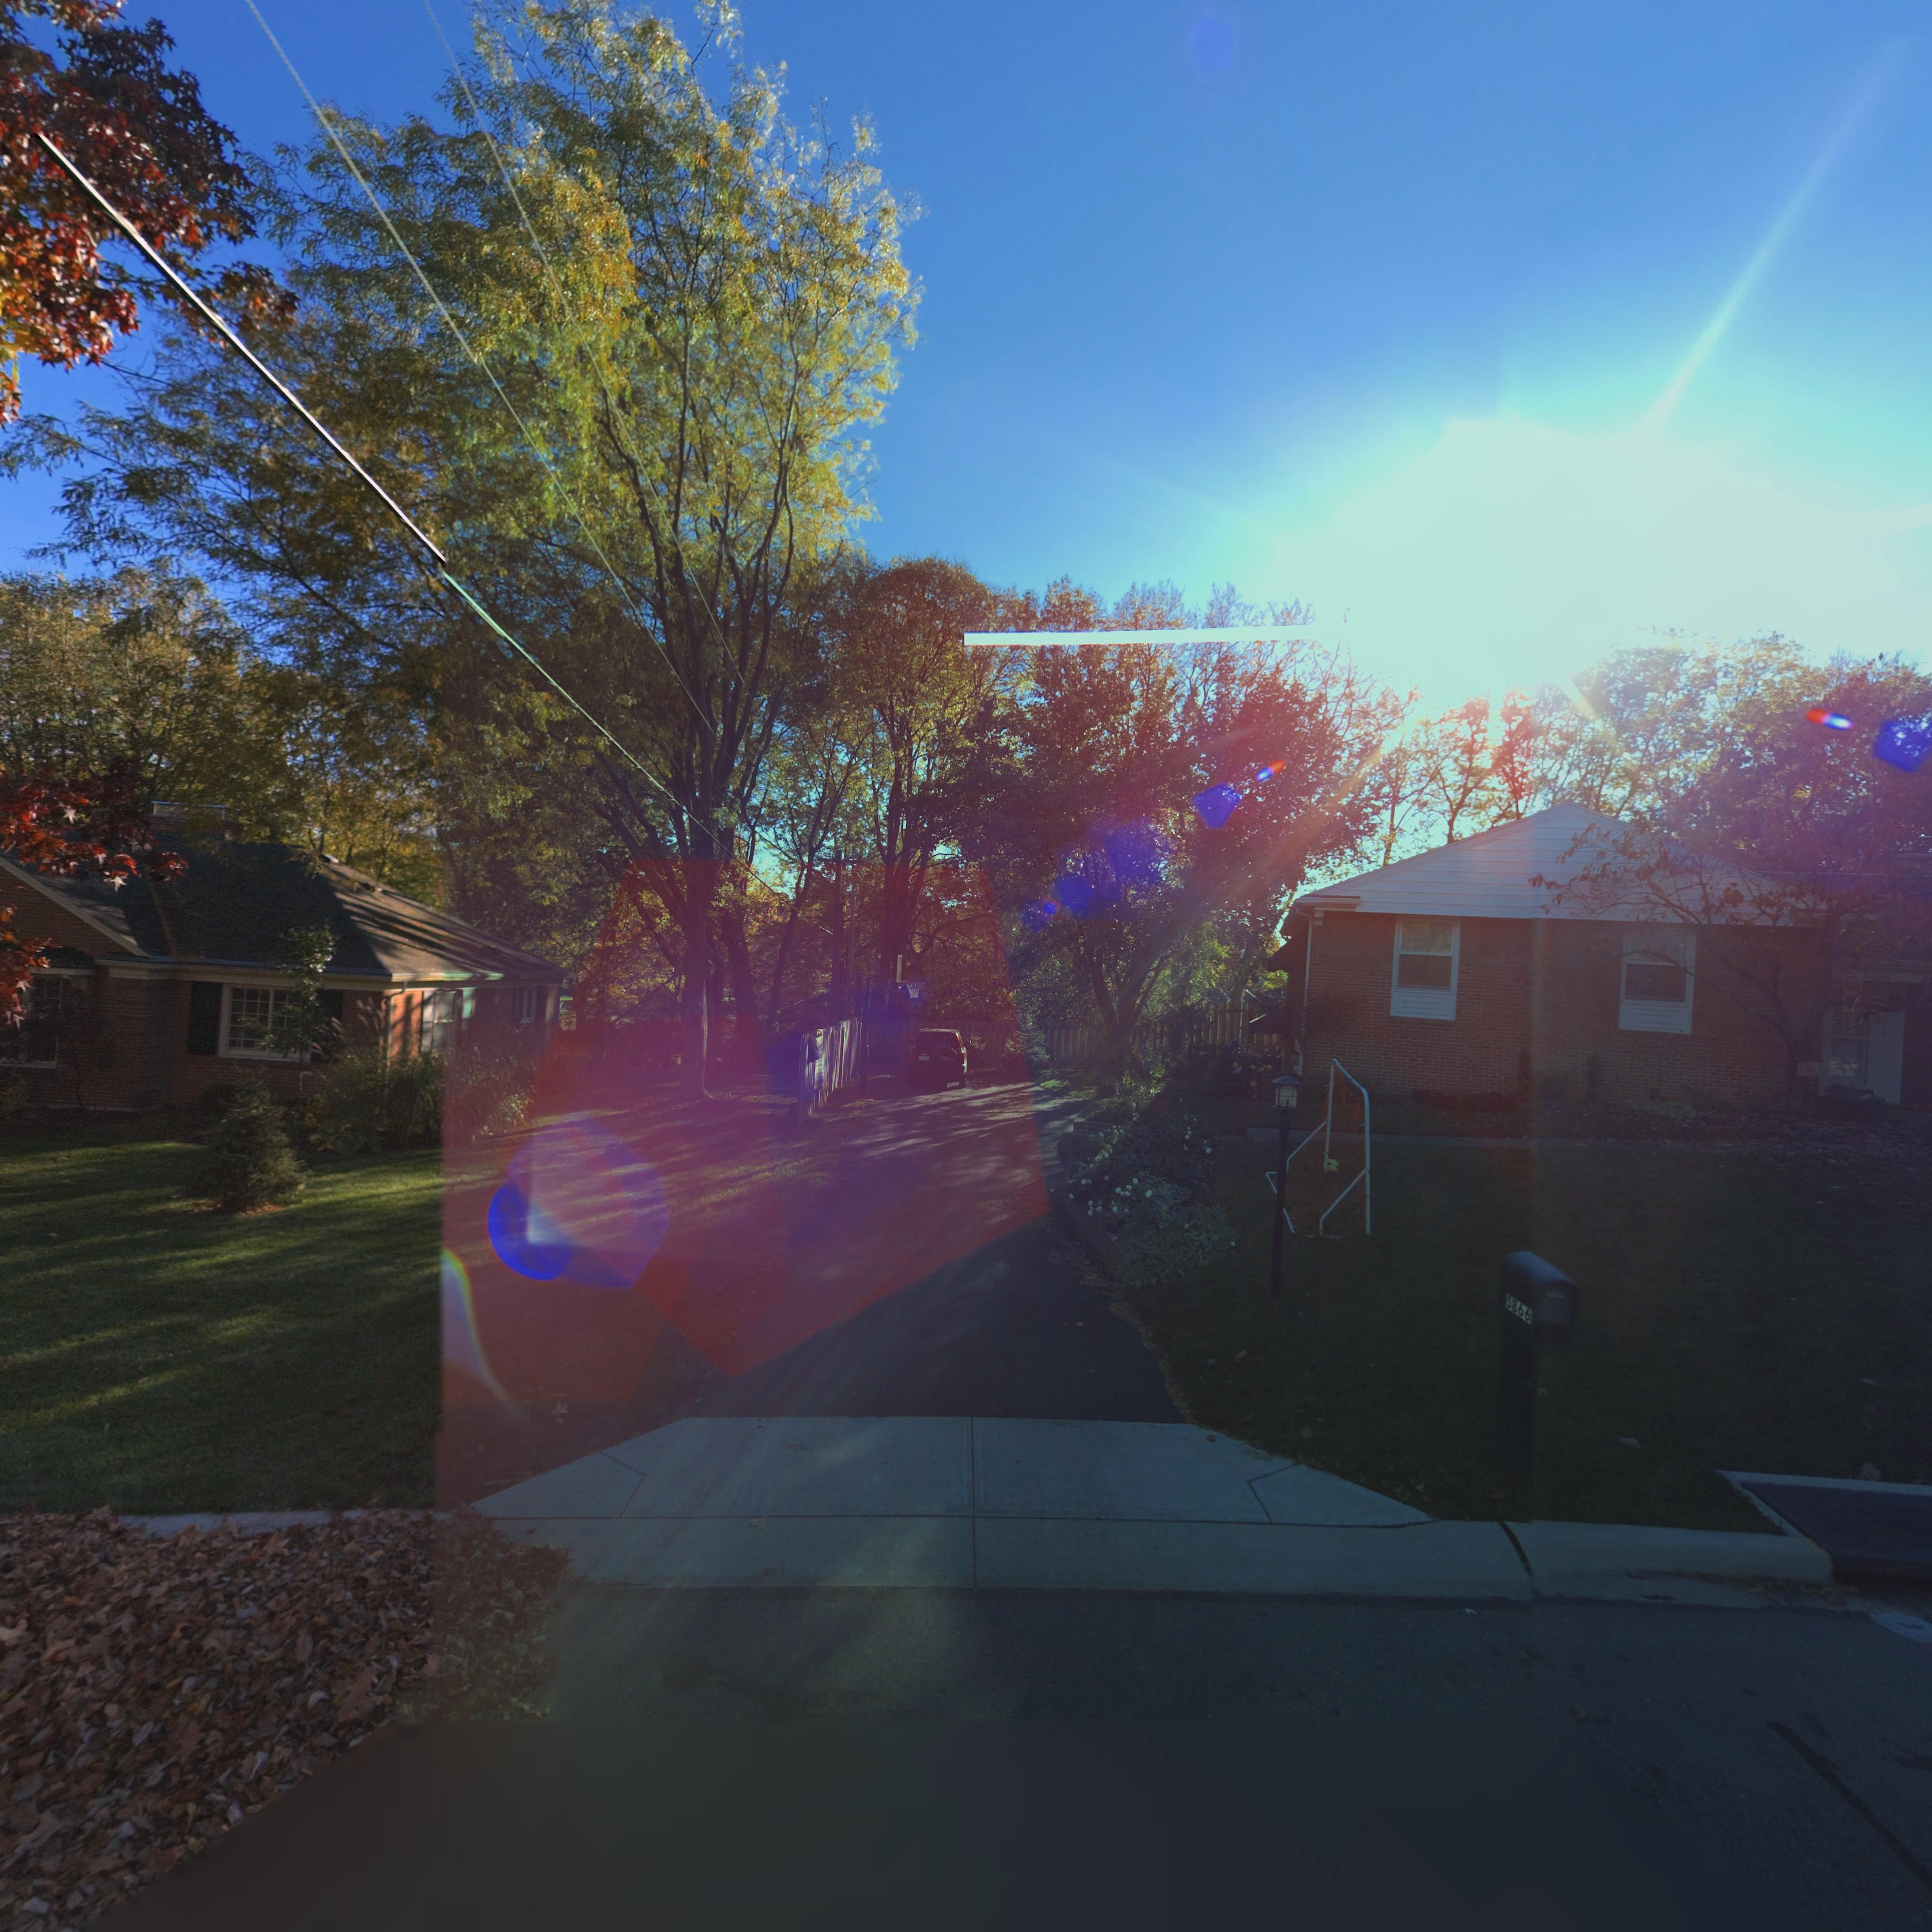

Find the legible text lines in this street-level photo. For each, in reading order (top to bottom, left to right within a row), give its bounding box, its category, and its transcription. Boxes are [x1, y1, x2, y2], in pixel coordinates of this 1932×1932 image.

[1506, 1294, 1532, 1323] StreetNumber: 5866